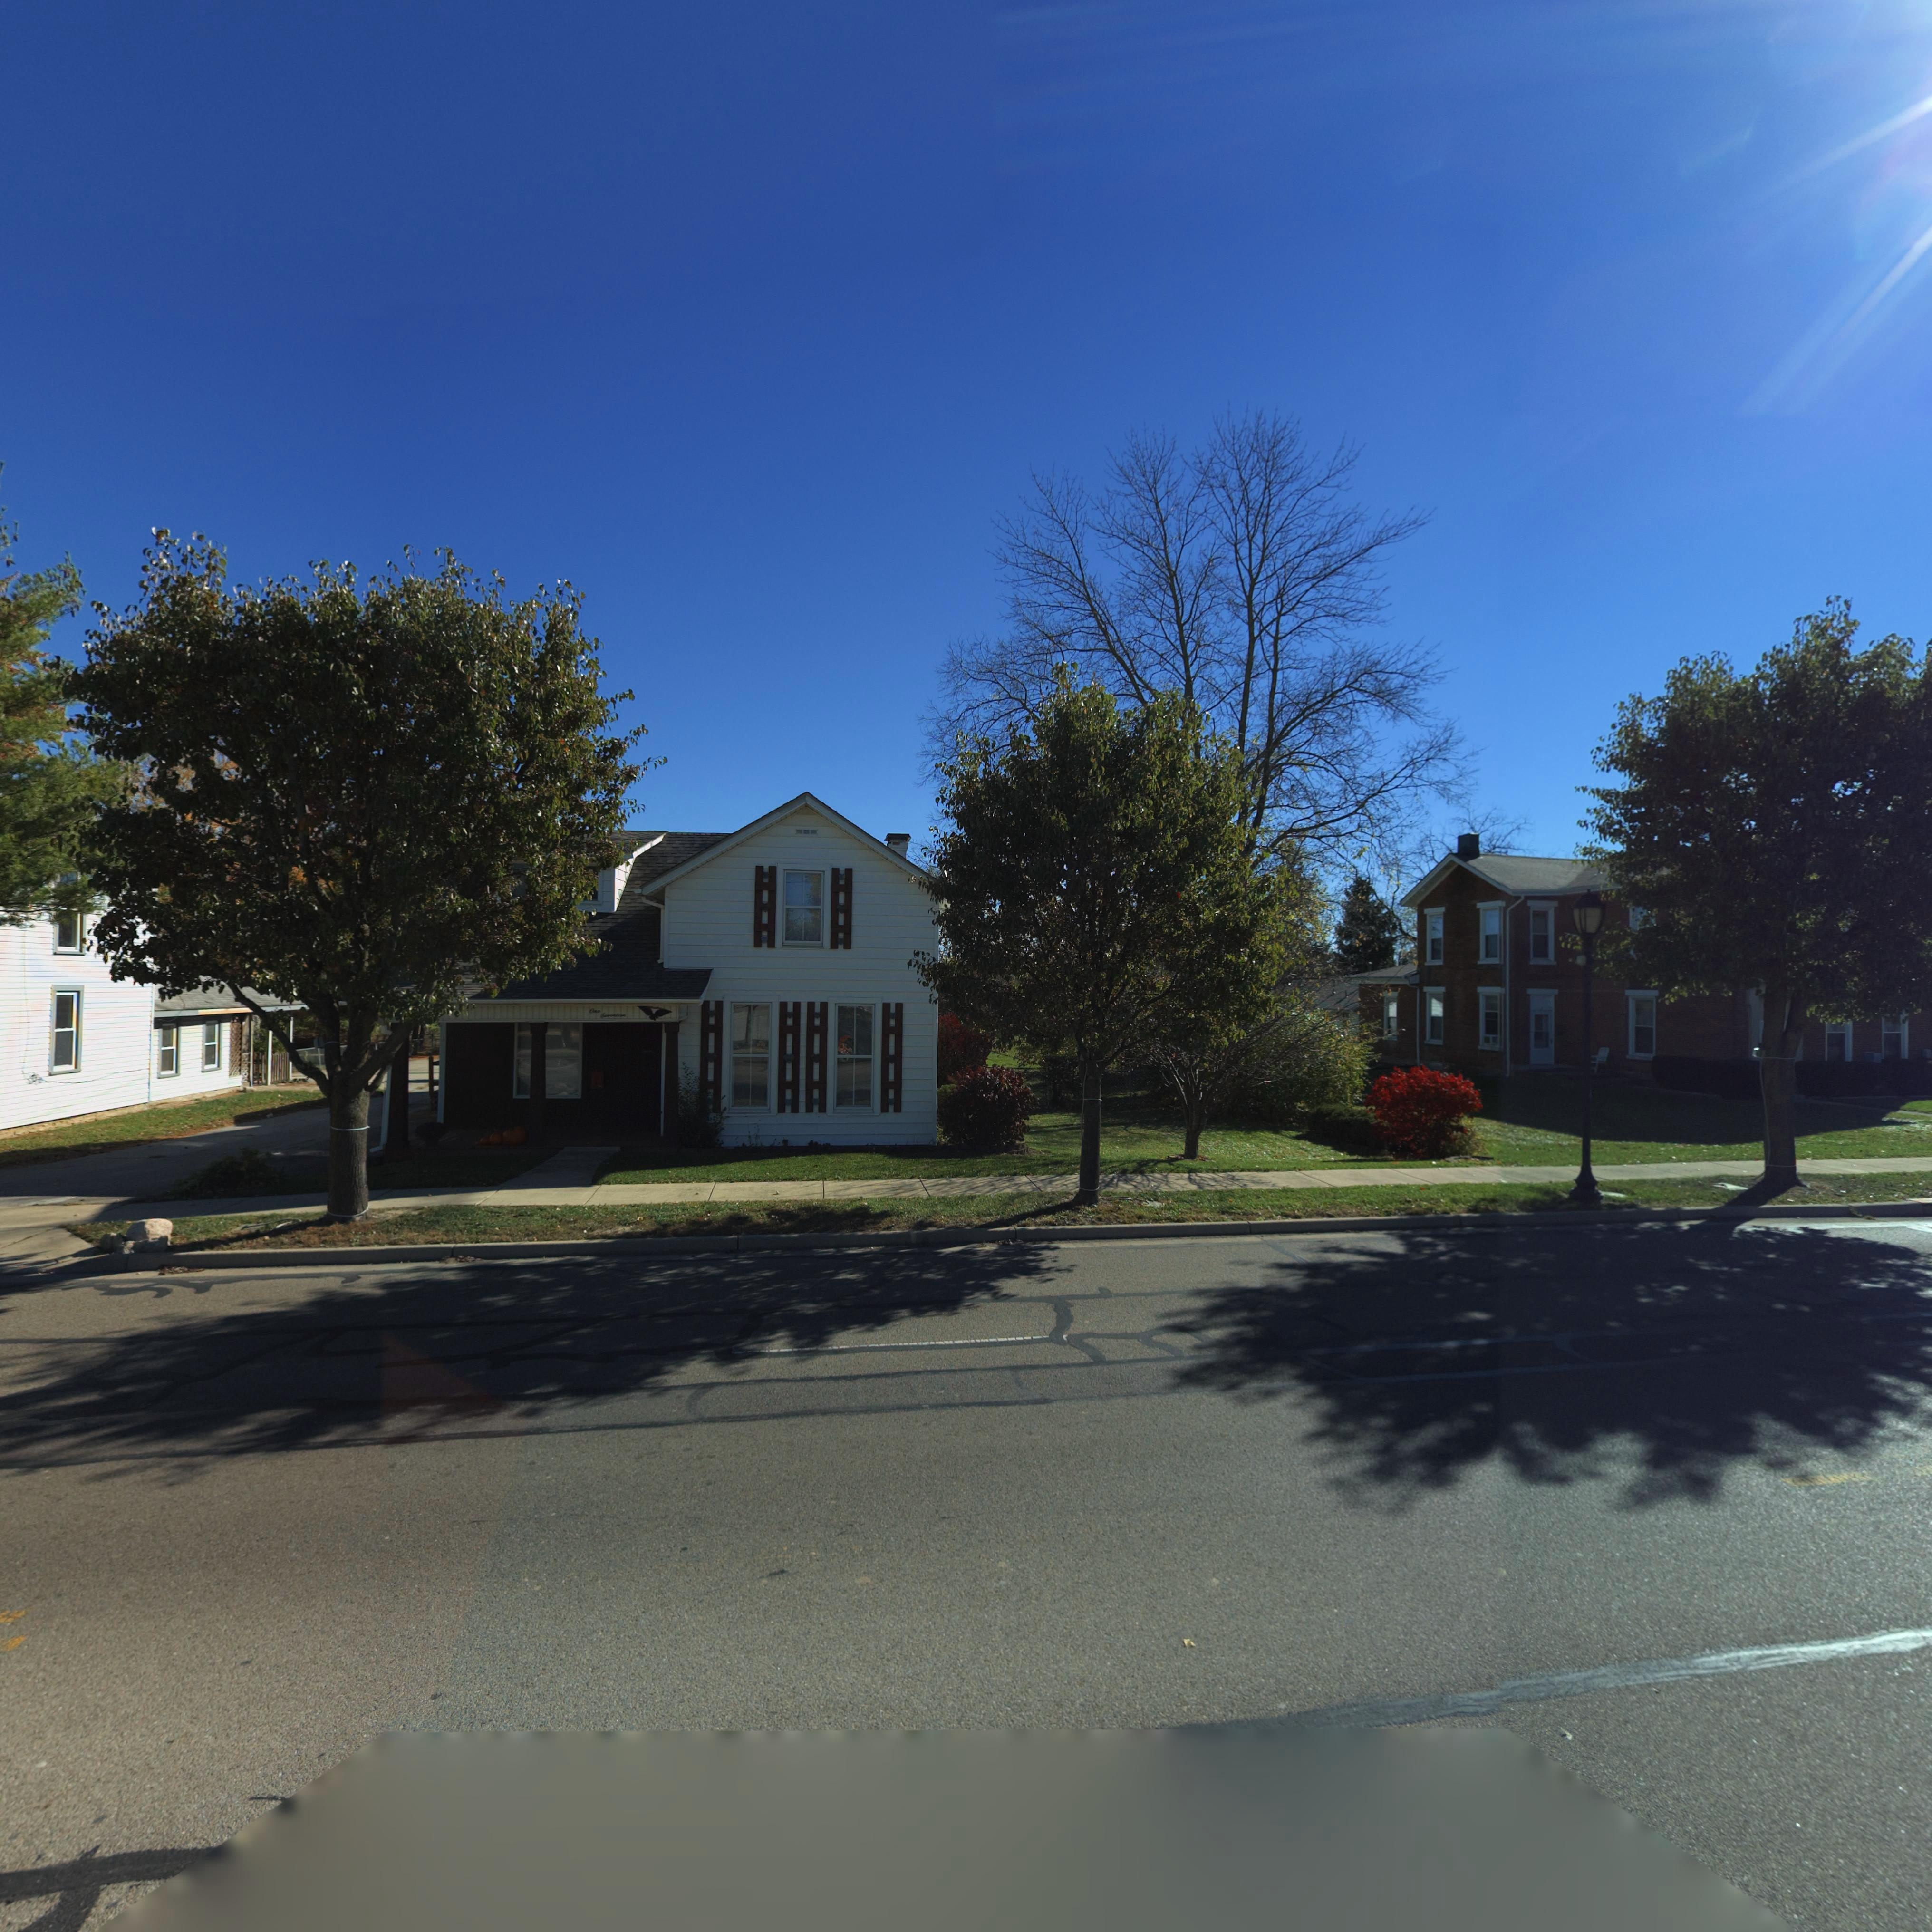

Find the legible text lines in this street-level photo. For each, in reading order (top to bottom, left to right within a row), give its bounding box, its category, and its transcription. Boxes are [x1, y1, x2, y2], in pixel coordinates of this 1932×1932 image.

[589, 1007, 601, 1014] StreetNumber: One
[599, 1012, 626, 1018] StreetNumber: Seventeen